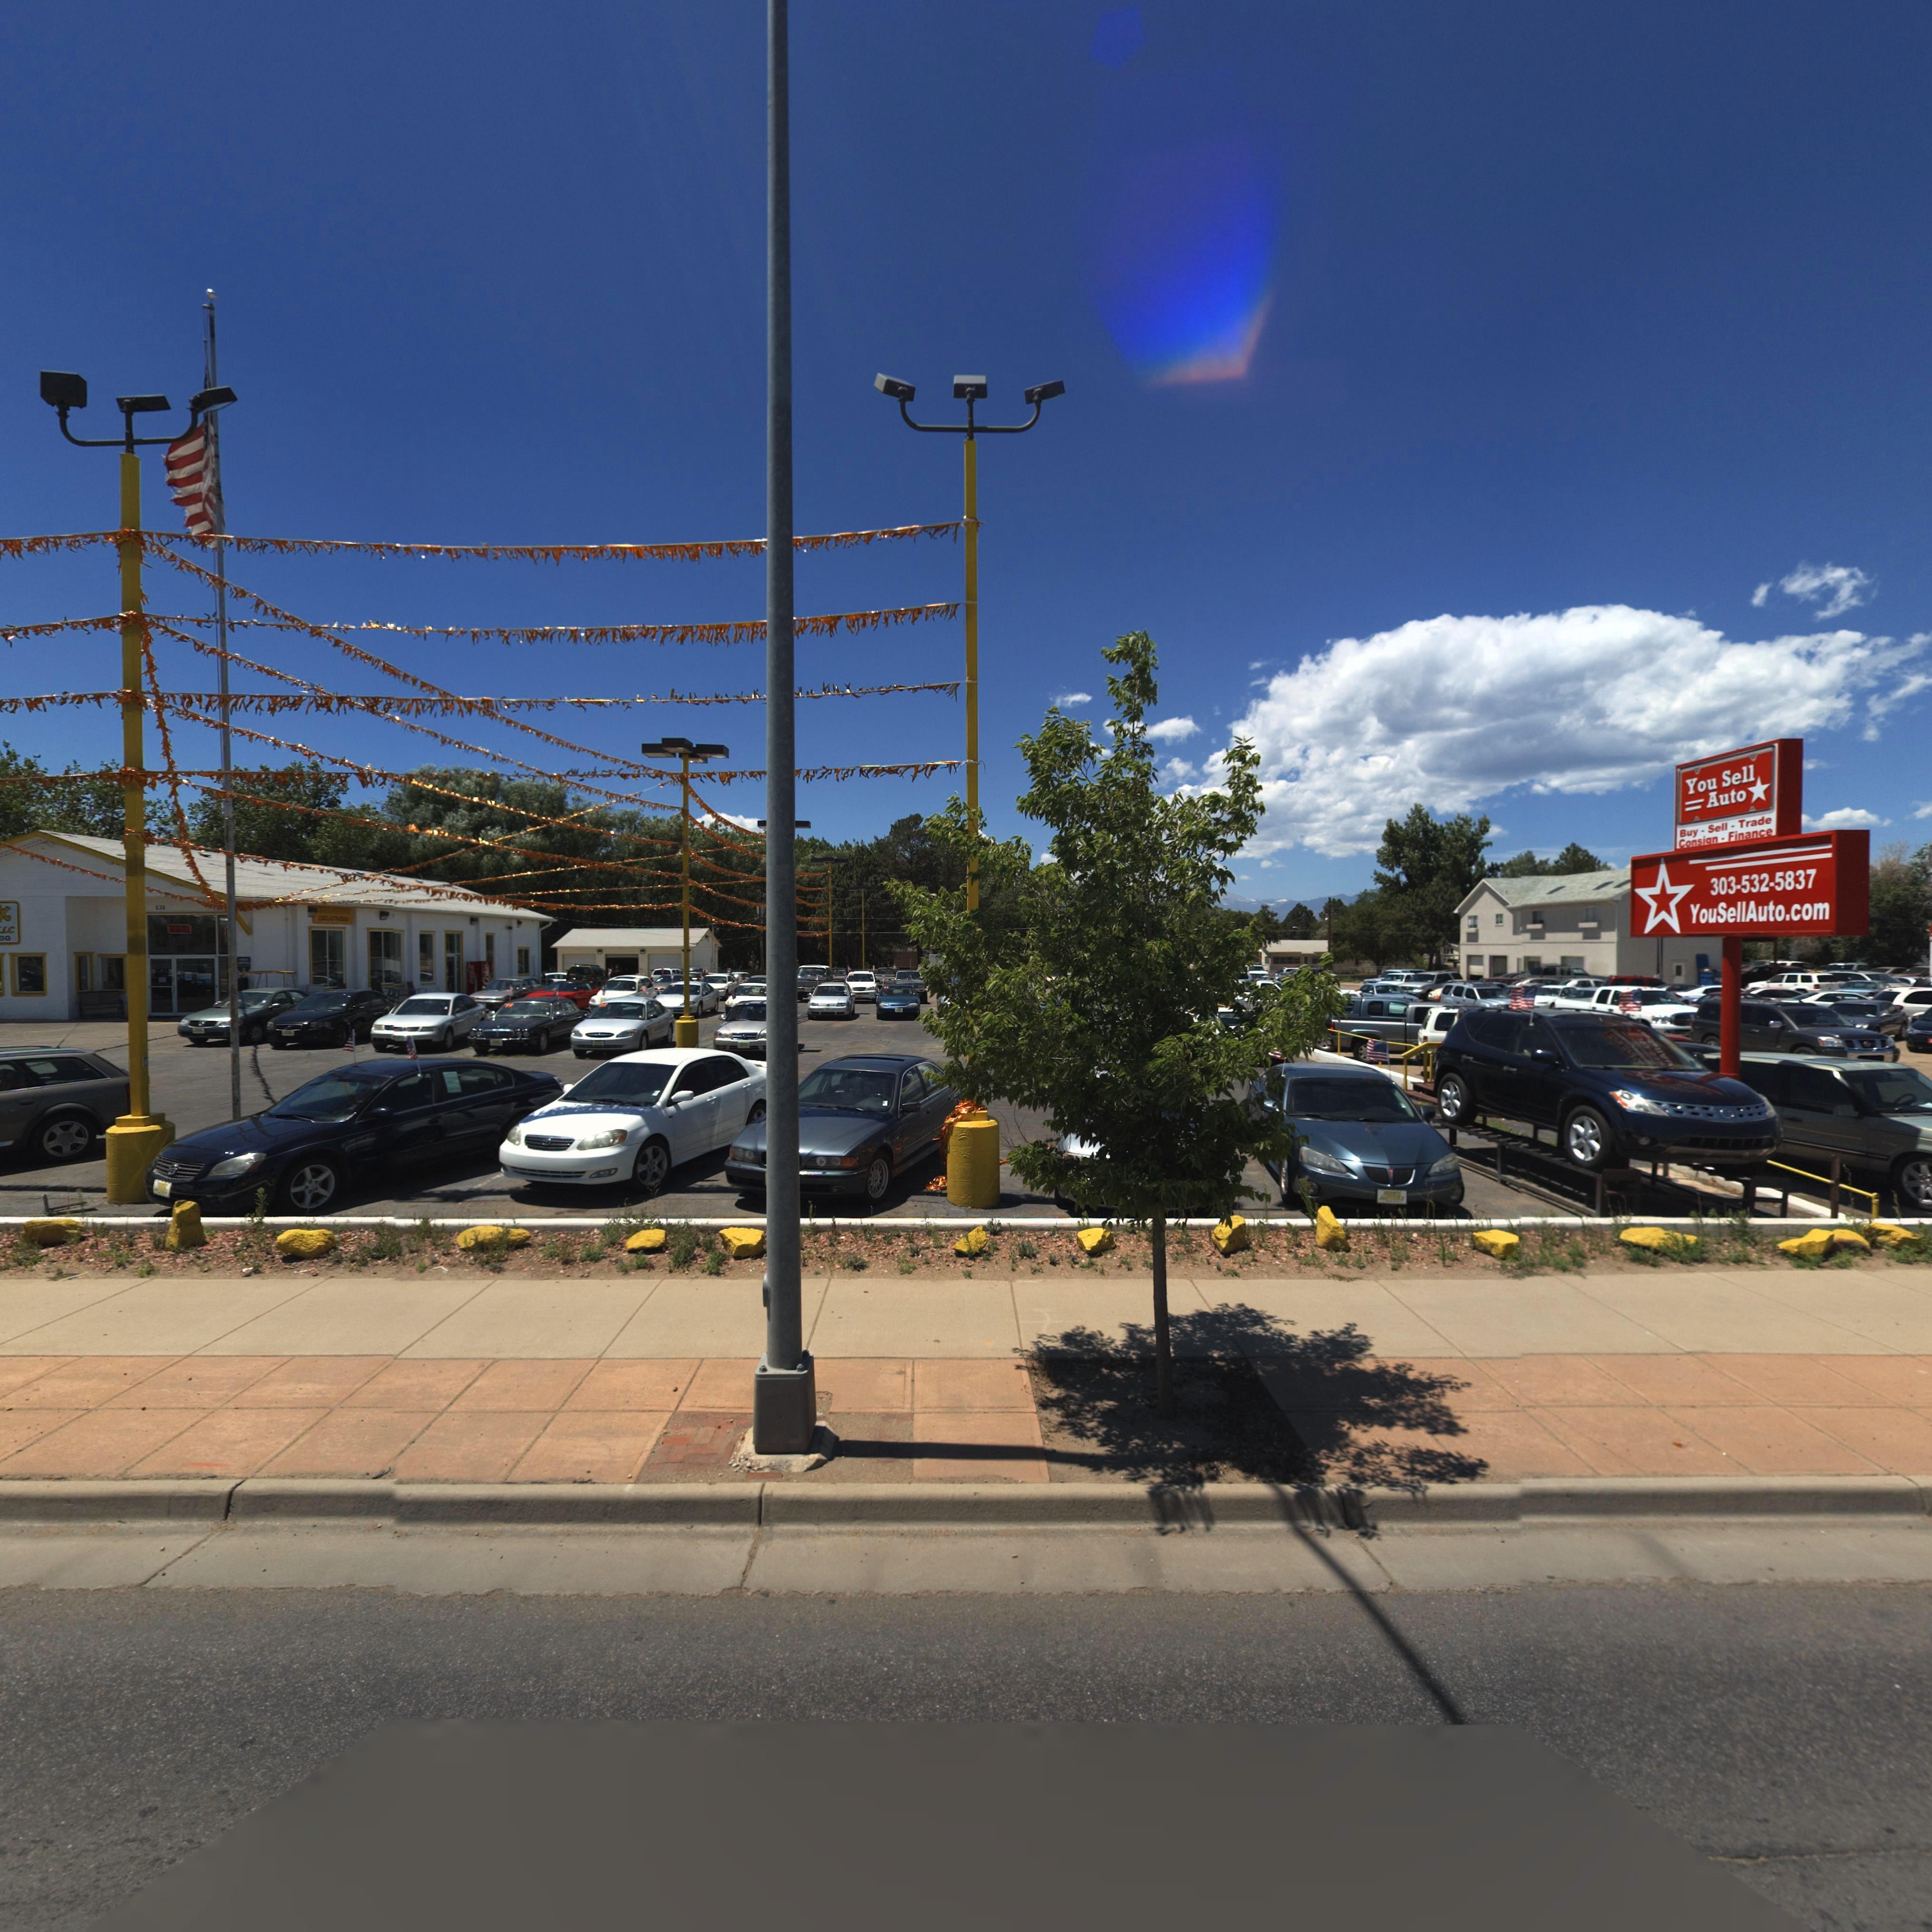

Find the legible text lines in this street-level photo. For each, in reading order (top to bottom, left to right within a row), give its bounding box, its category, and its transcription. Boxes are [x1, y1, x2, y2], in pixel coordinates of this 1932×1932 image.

[1683, 763, 1756, 795] BusinessName: You Sell
[1705, 787, 1748, 809] BusinessName: Auto
[154, 904, 166, 911] StreetNumber: 13*
[1, 926, 16, 933] BusinessName: LC